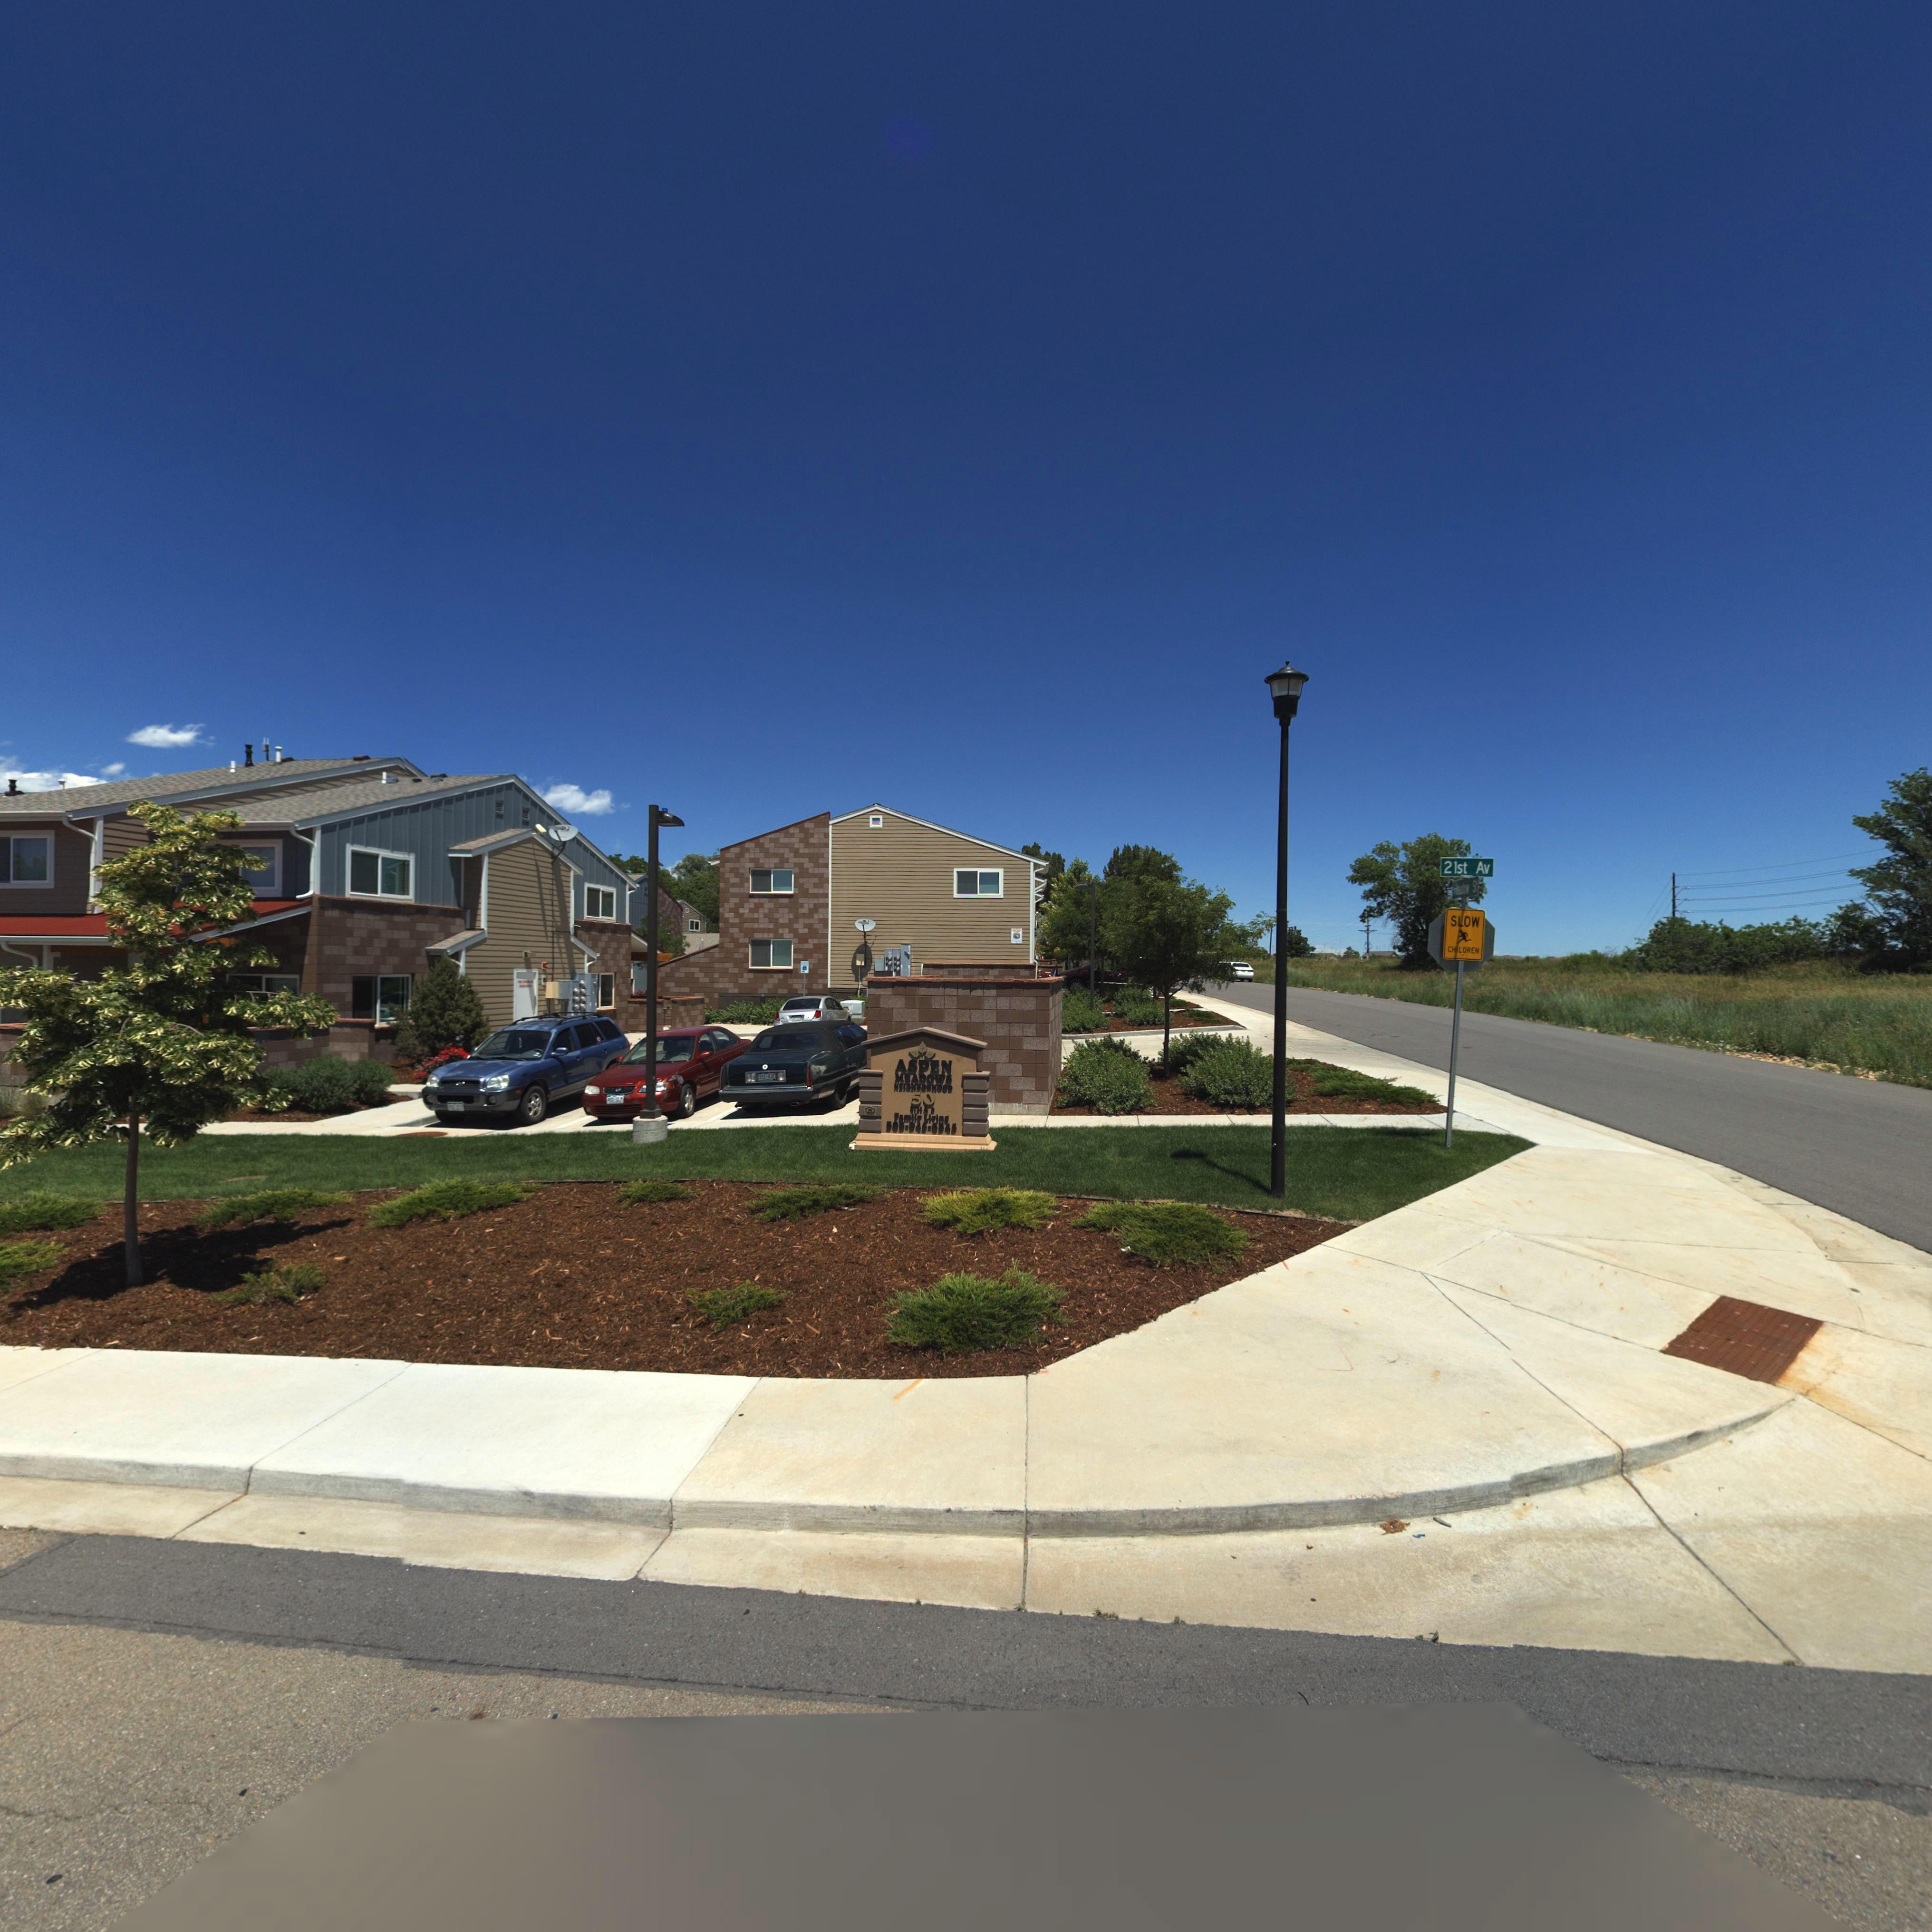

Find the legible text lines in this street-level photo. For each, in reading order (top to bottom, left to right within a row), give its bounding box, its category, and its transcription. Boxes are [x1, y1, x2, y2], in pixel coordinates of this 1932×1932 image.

[1444, 860, 1490, 874] StreetName: 21st Av
[1452, 879, 1478, 896] StreetName: *eadow St